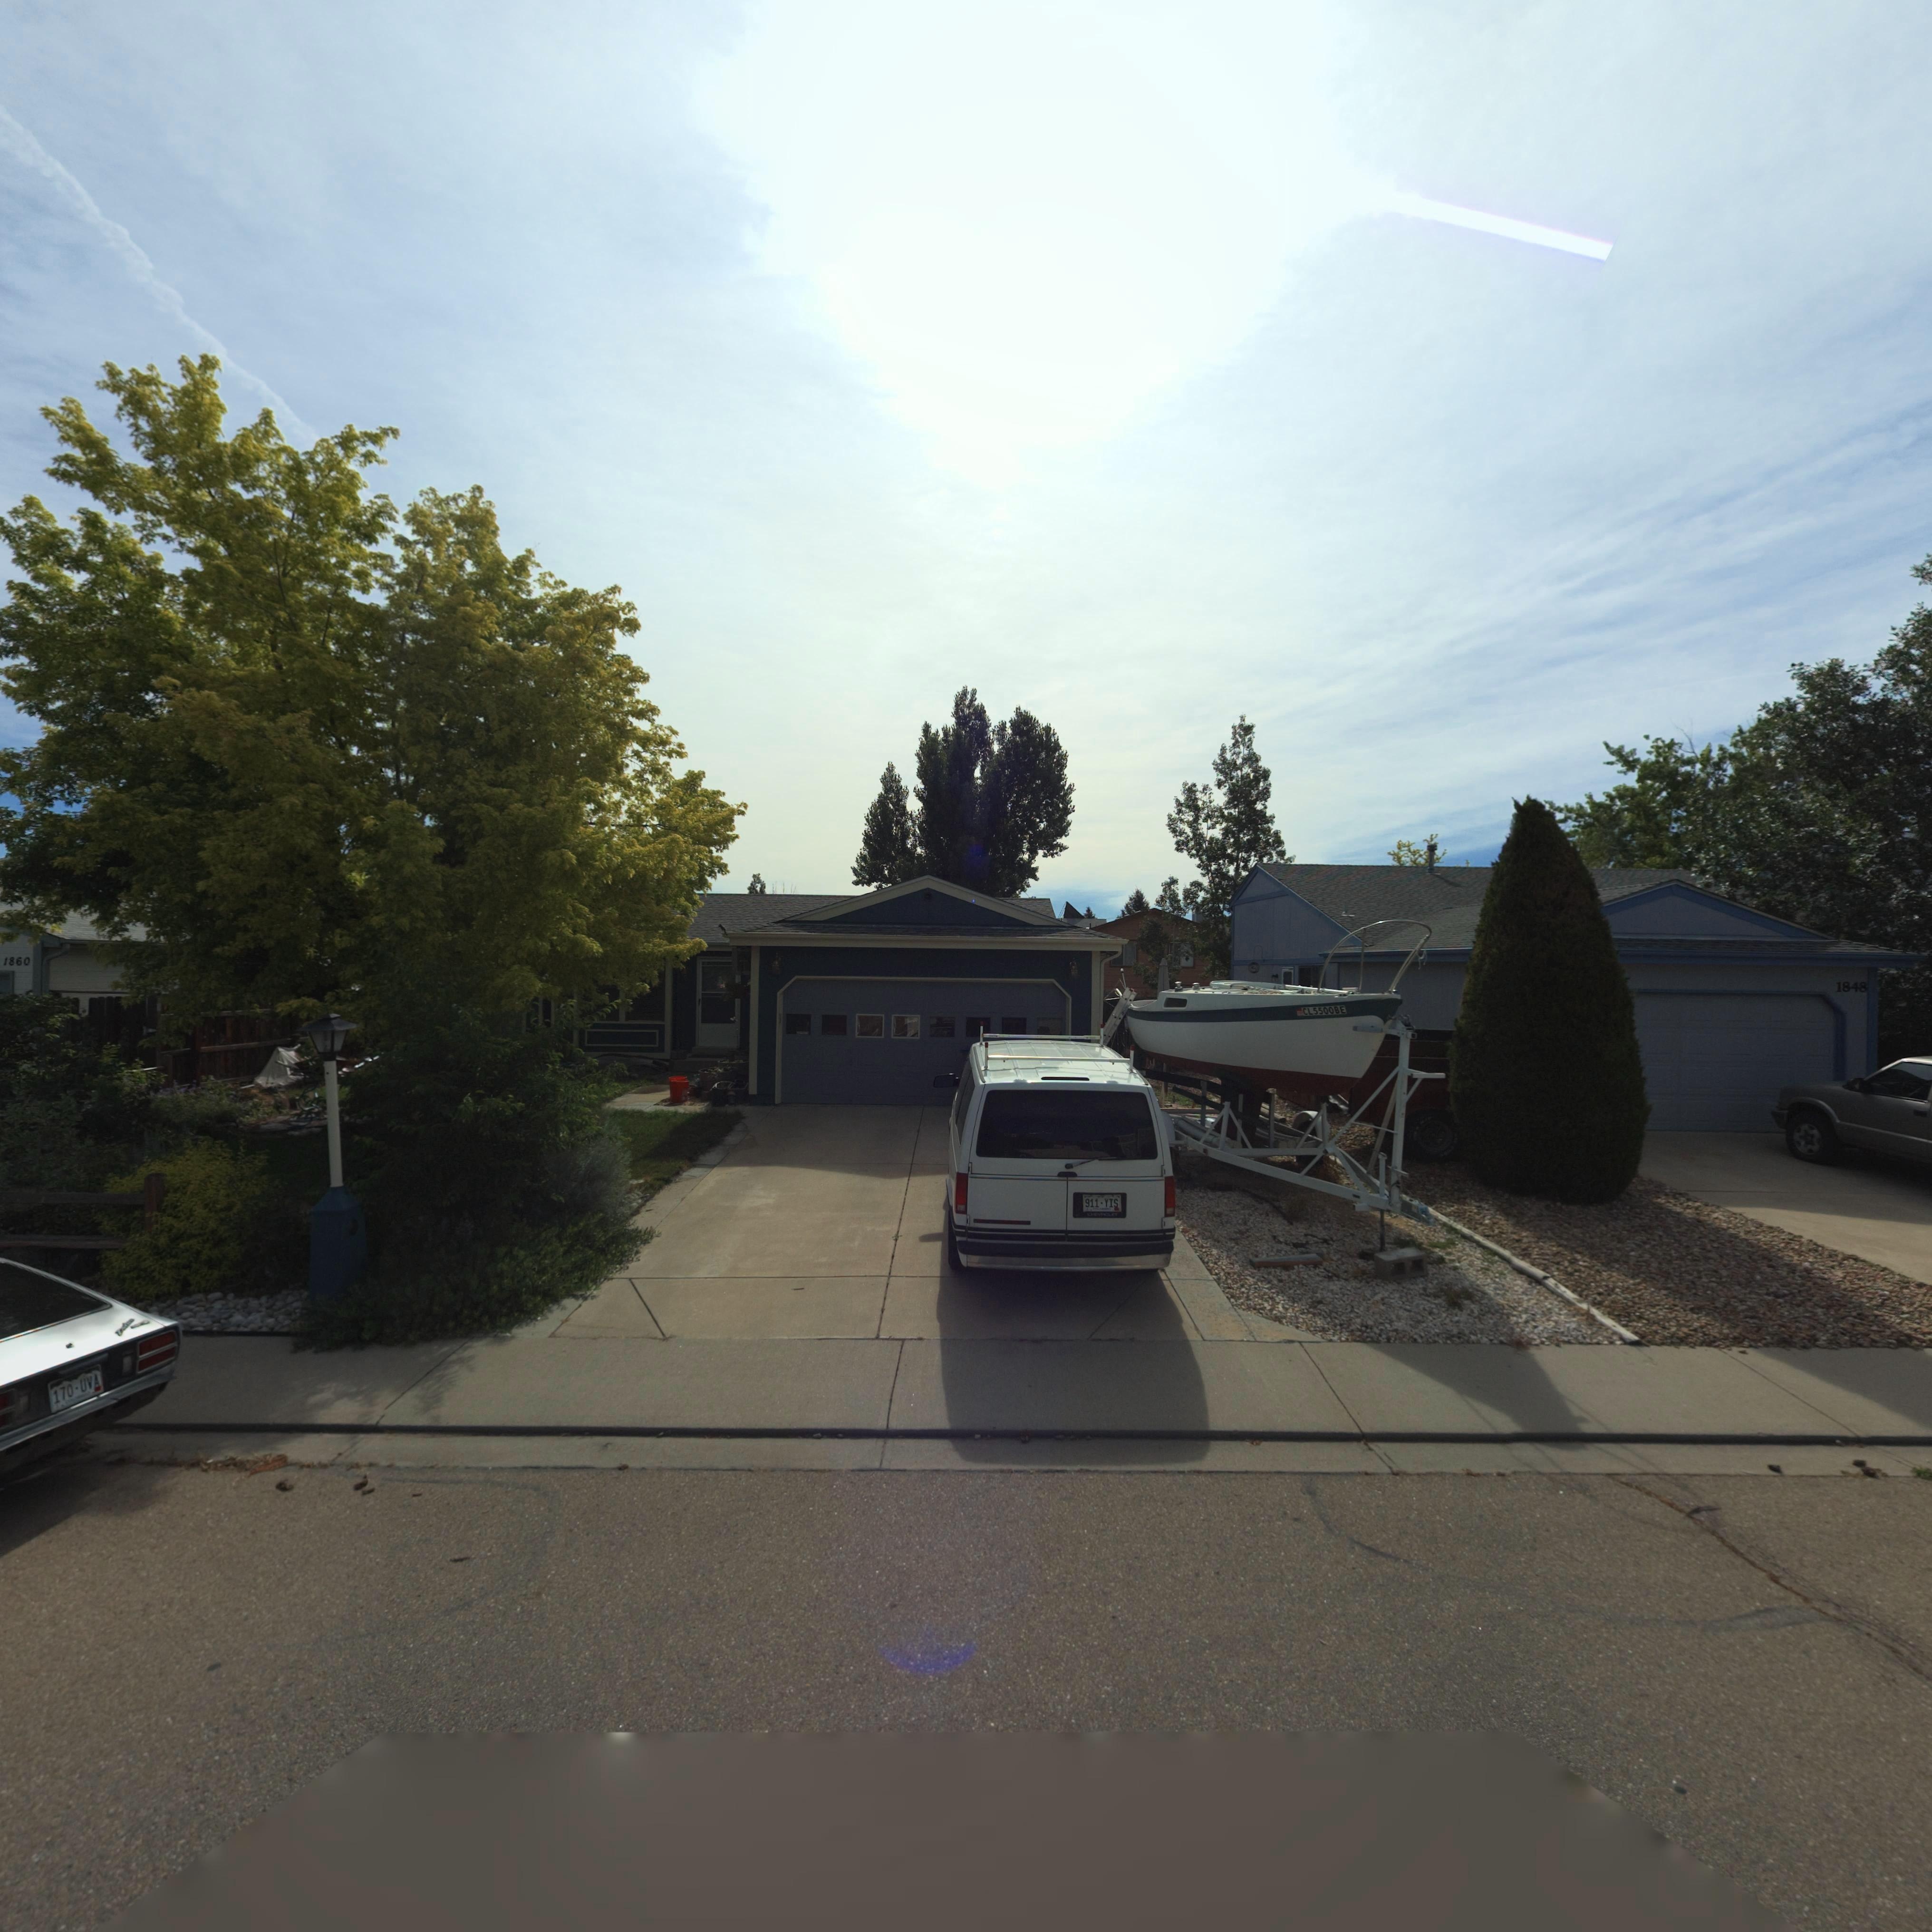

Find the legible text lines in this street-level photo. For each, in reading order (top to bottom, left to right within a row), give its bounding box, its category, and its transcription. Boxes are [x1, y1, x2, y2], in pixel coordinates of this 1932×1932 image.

[2, 956, 31, 966] StreetNumber: 1860
[1835, 980, 1868, 993] StreetNumber: 1848